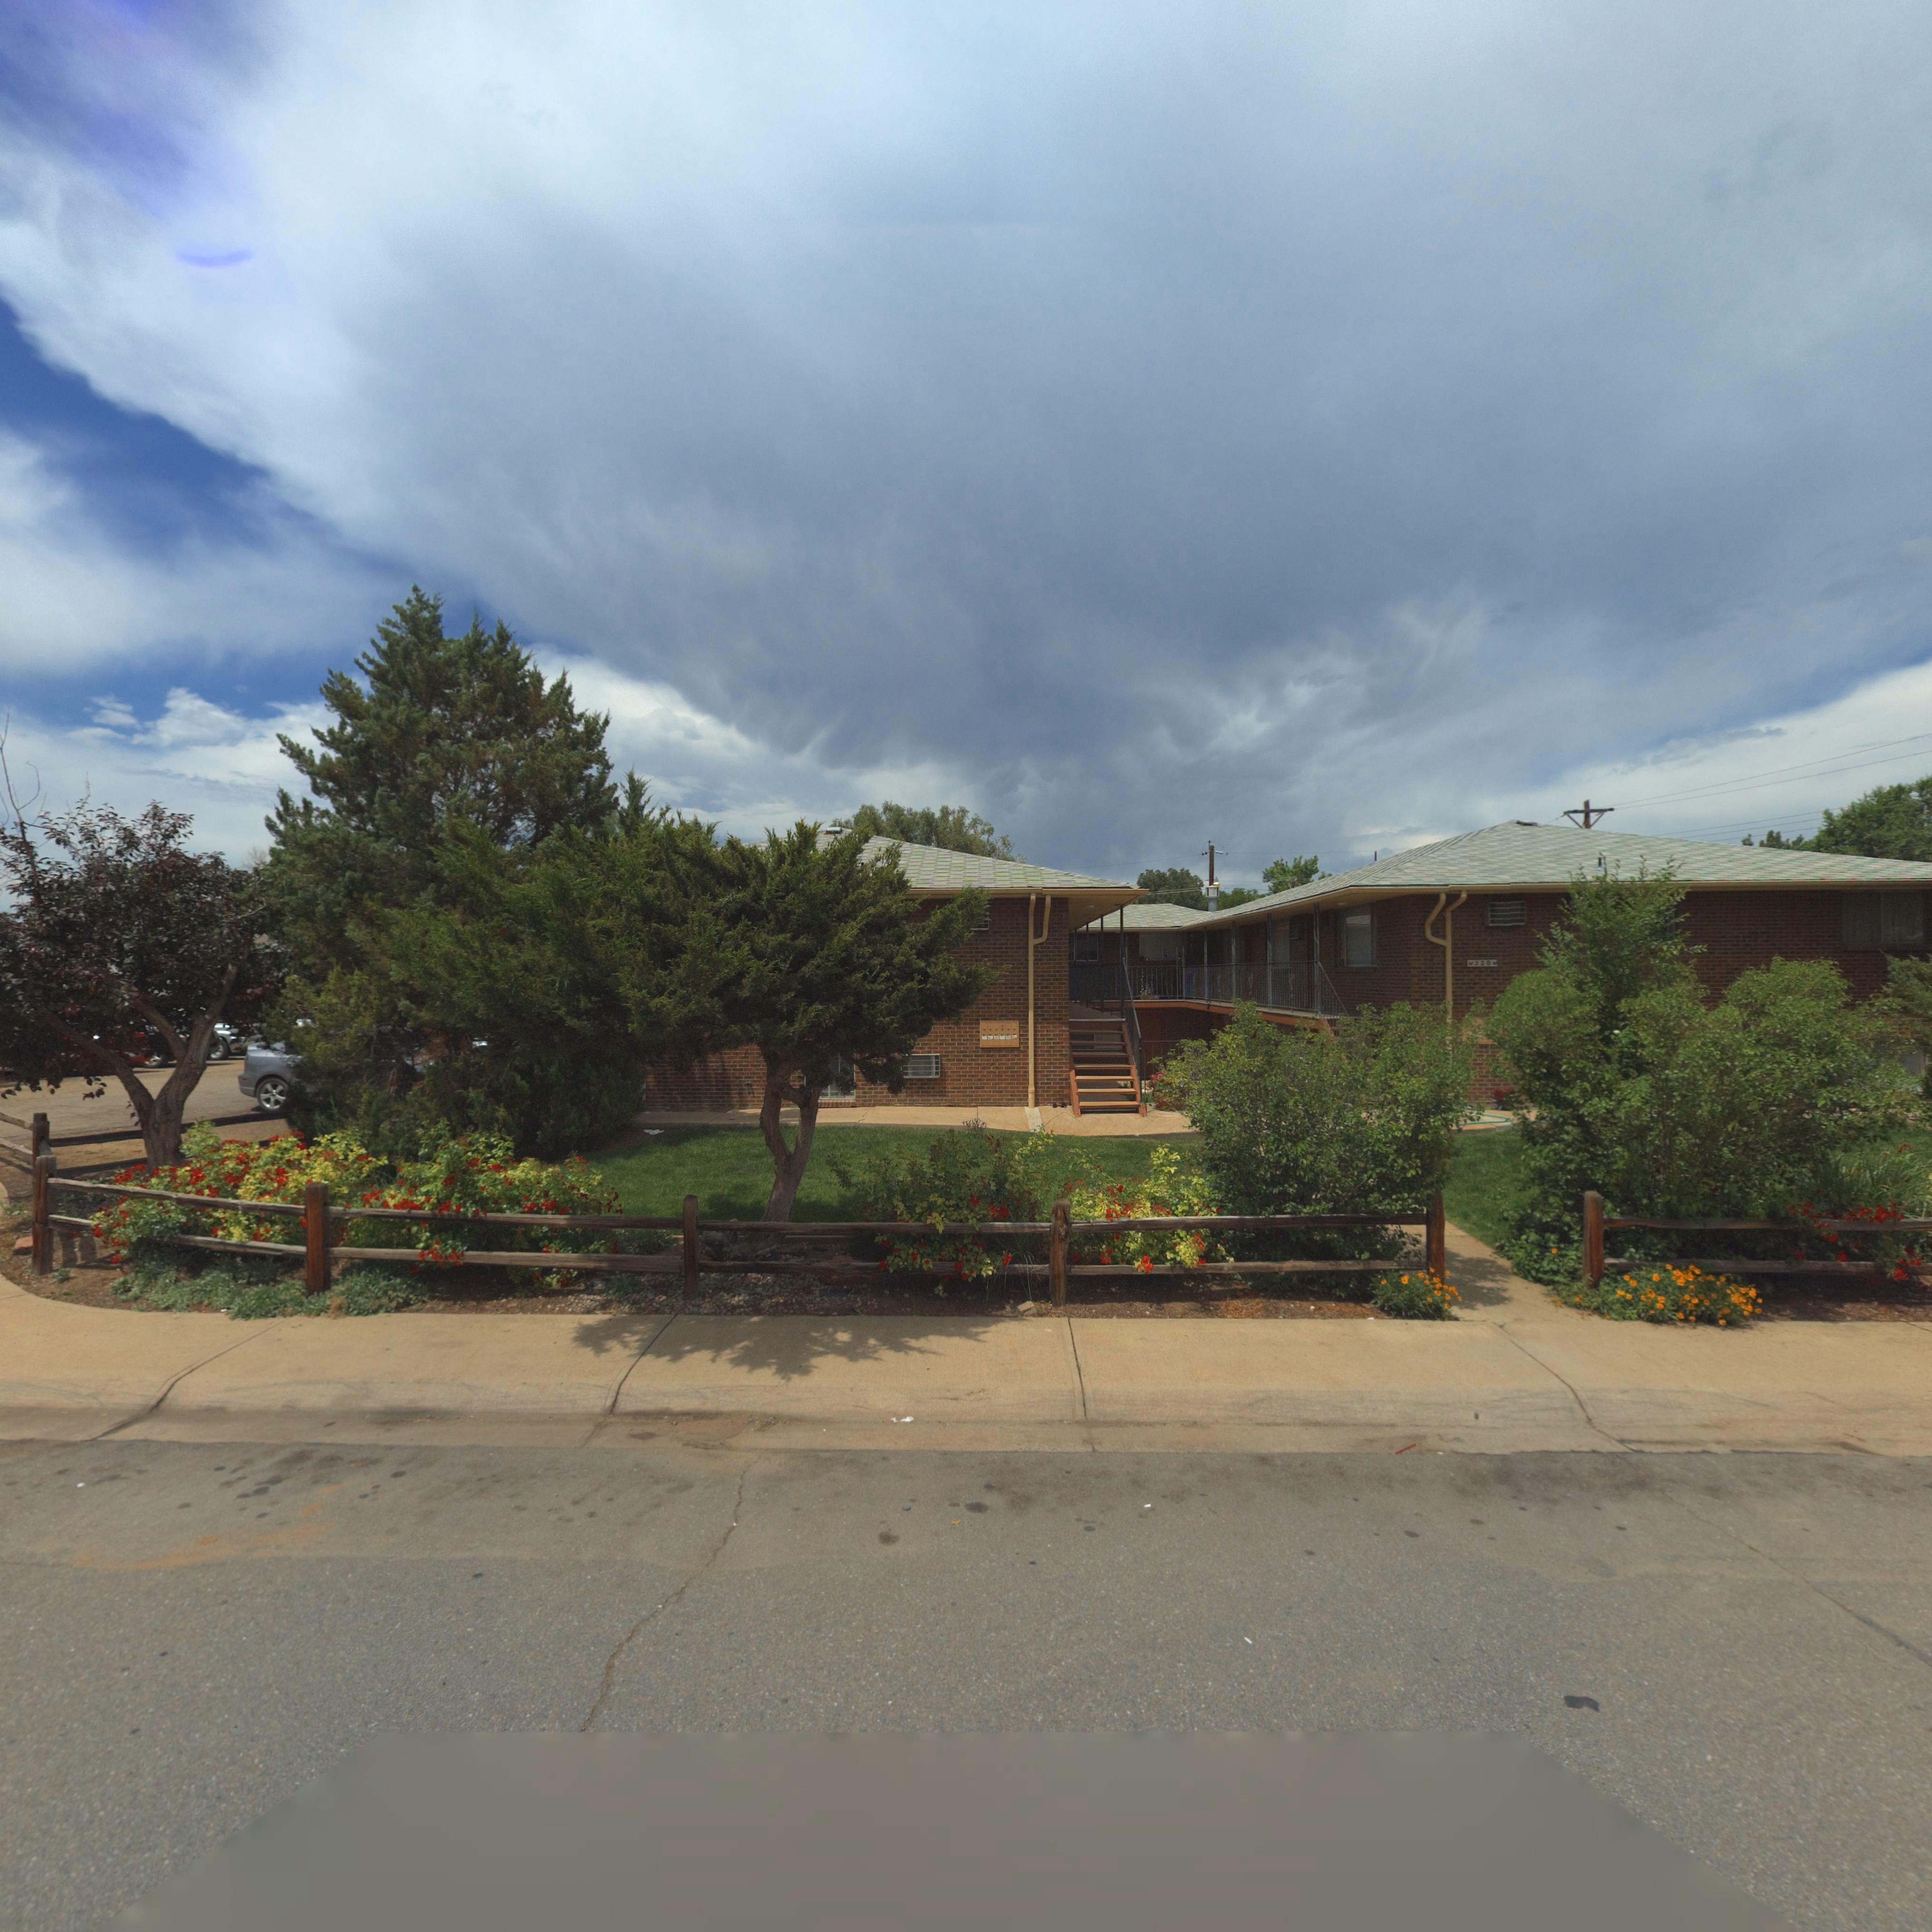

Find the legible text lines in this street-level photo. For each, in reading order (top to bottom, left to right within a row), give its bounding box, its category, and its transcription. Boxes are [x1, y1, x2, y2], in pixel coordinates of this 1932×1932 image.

[1474, 960, 1491, 966] StreetNumber: 320